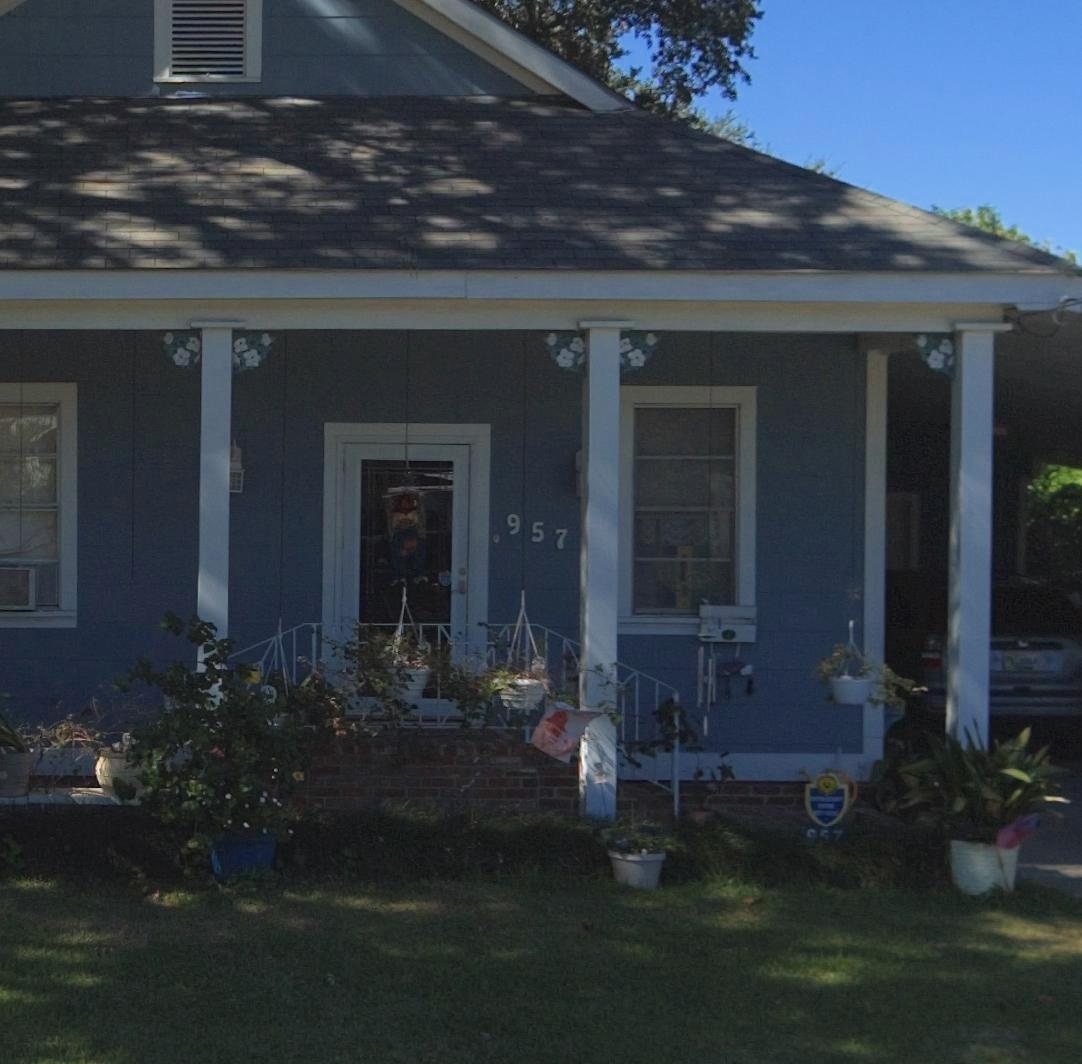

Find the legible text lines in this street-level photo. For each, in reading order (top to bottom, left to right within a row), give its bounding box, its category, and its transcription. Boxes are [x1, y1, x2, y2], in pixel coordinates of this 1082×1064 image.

[504, 512, 572, 551] StreetNumber: 957
[806, 828, 845, 843] StreetNumber: **7